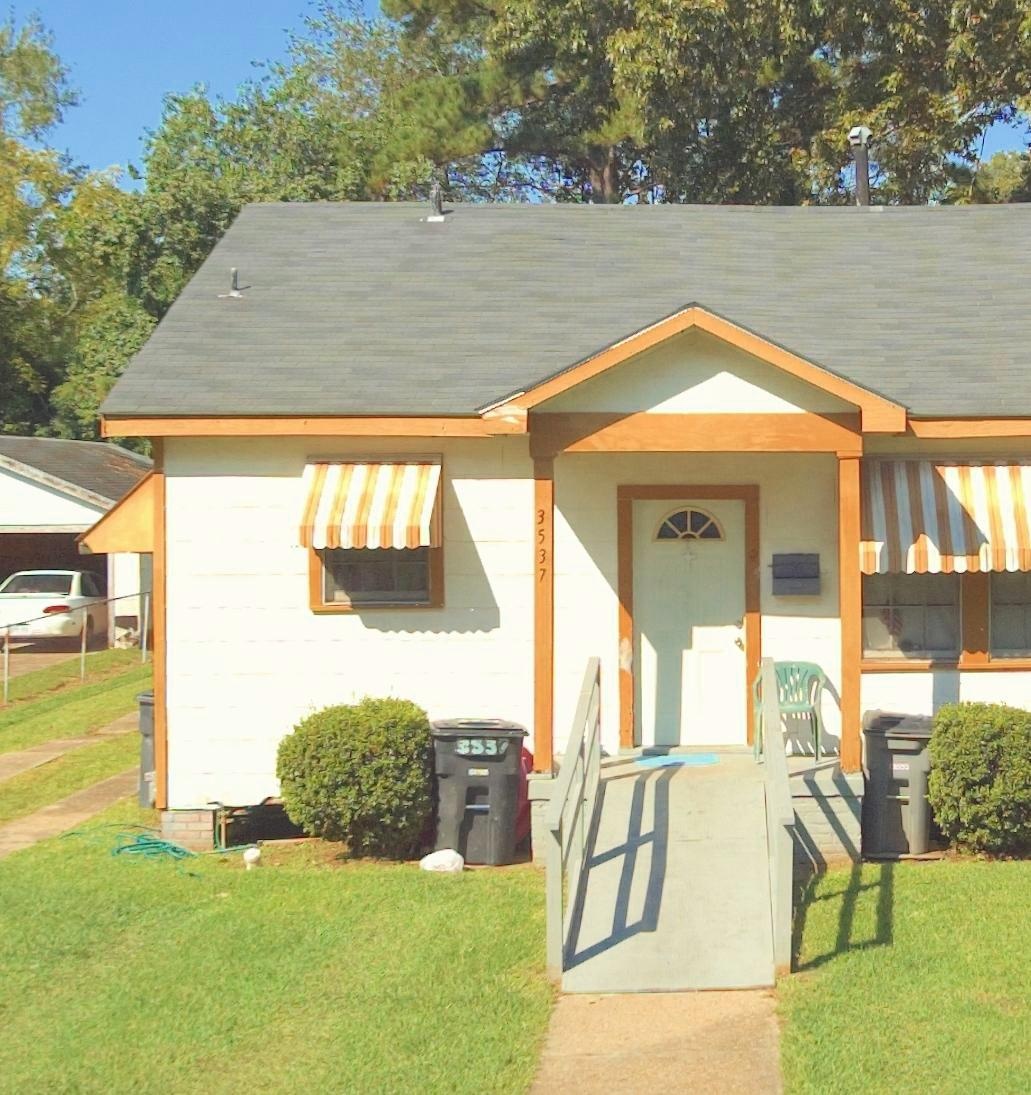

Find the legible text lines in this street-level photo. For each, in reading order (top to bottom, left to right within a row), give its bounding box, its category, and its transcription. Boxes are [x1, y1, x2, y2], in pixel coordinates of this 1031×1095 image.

[535, 507, 549, 586] StreetNumber: 3537
[452, 736, 512, 757] StreetNumber: 3537